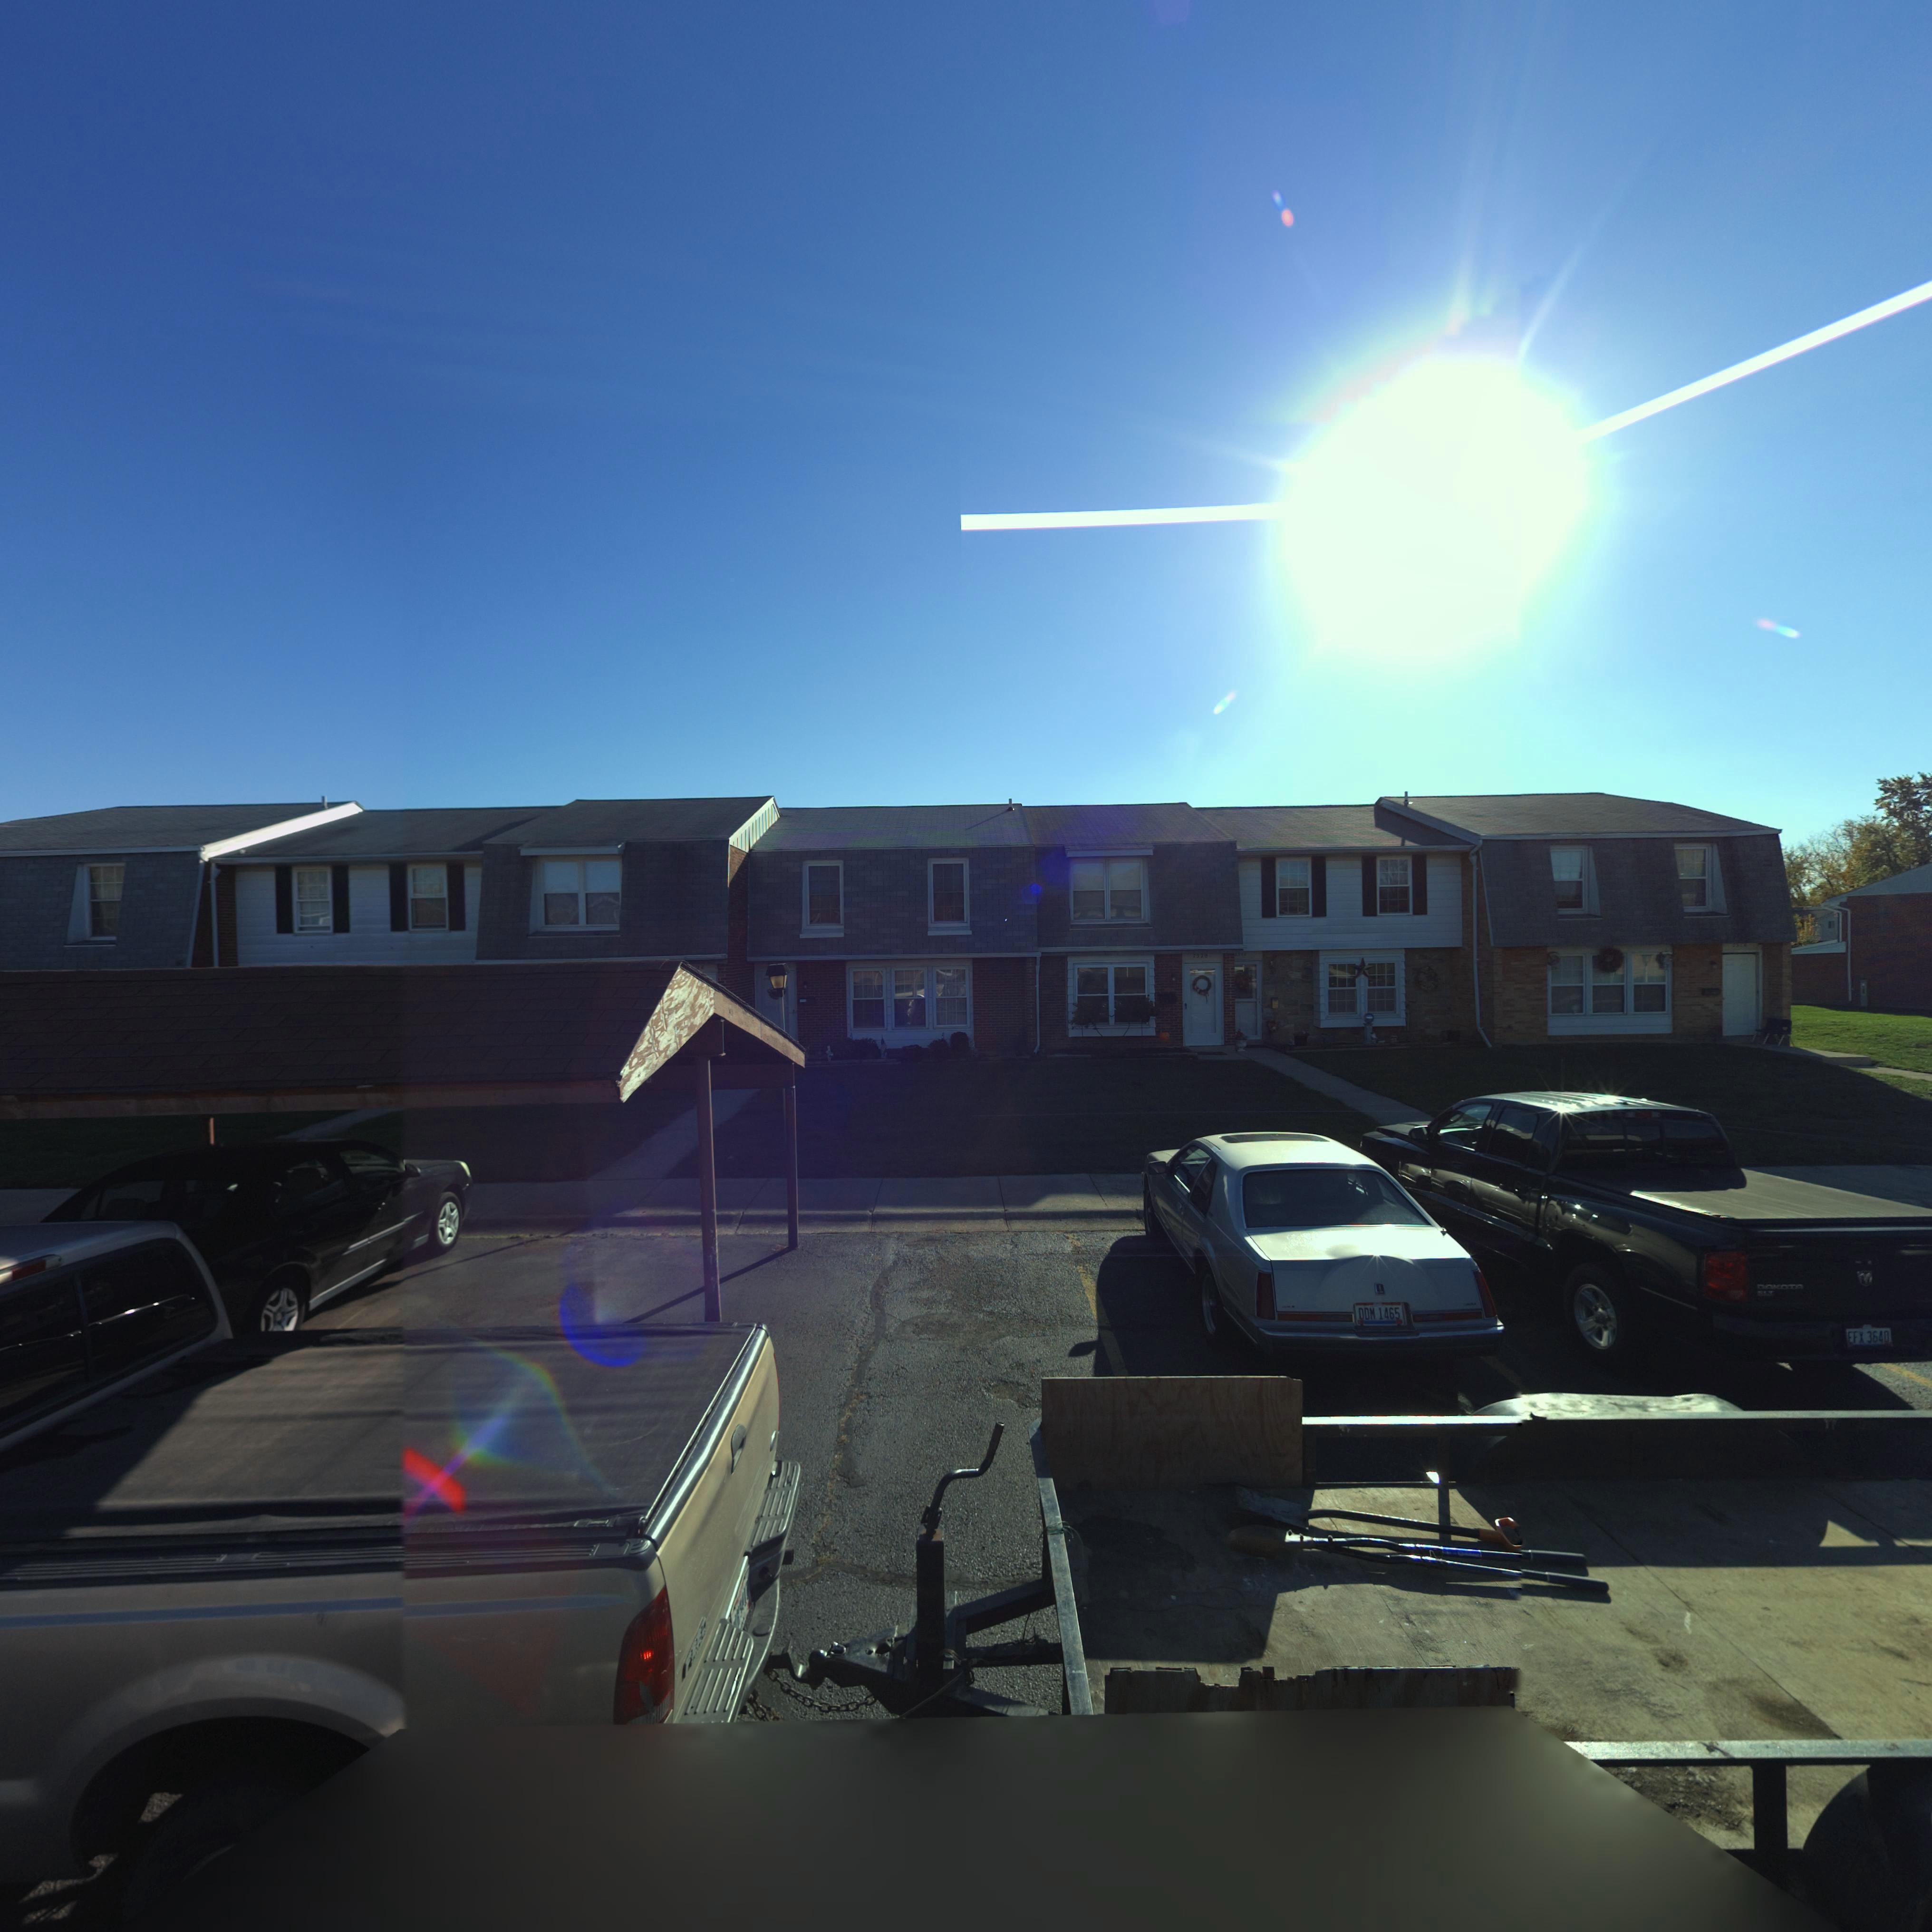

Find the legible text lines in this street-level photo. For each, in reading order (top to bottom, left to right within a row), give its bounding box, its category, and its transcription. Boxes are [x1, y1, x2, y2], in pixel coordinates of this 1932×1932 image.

[1732, 943, 1747, 948] StreetNumber: 751*
[1193, 953, 1208, 958] StreetNumber: 7520
[1234, 952, 1247, 956] StreetNumber: 751*
[696, 964, 705, 970] StreetNumber: 24